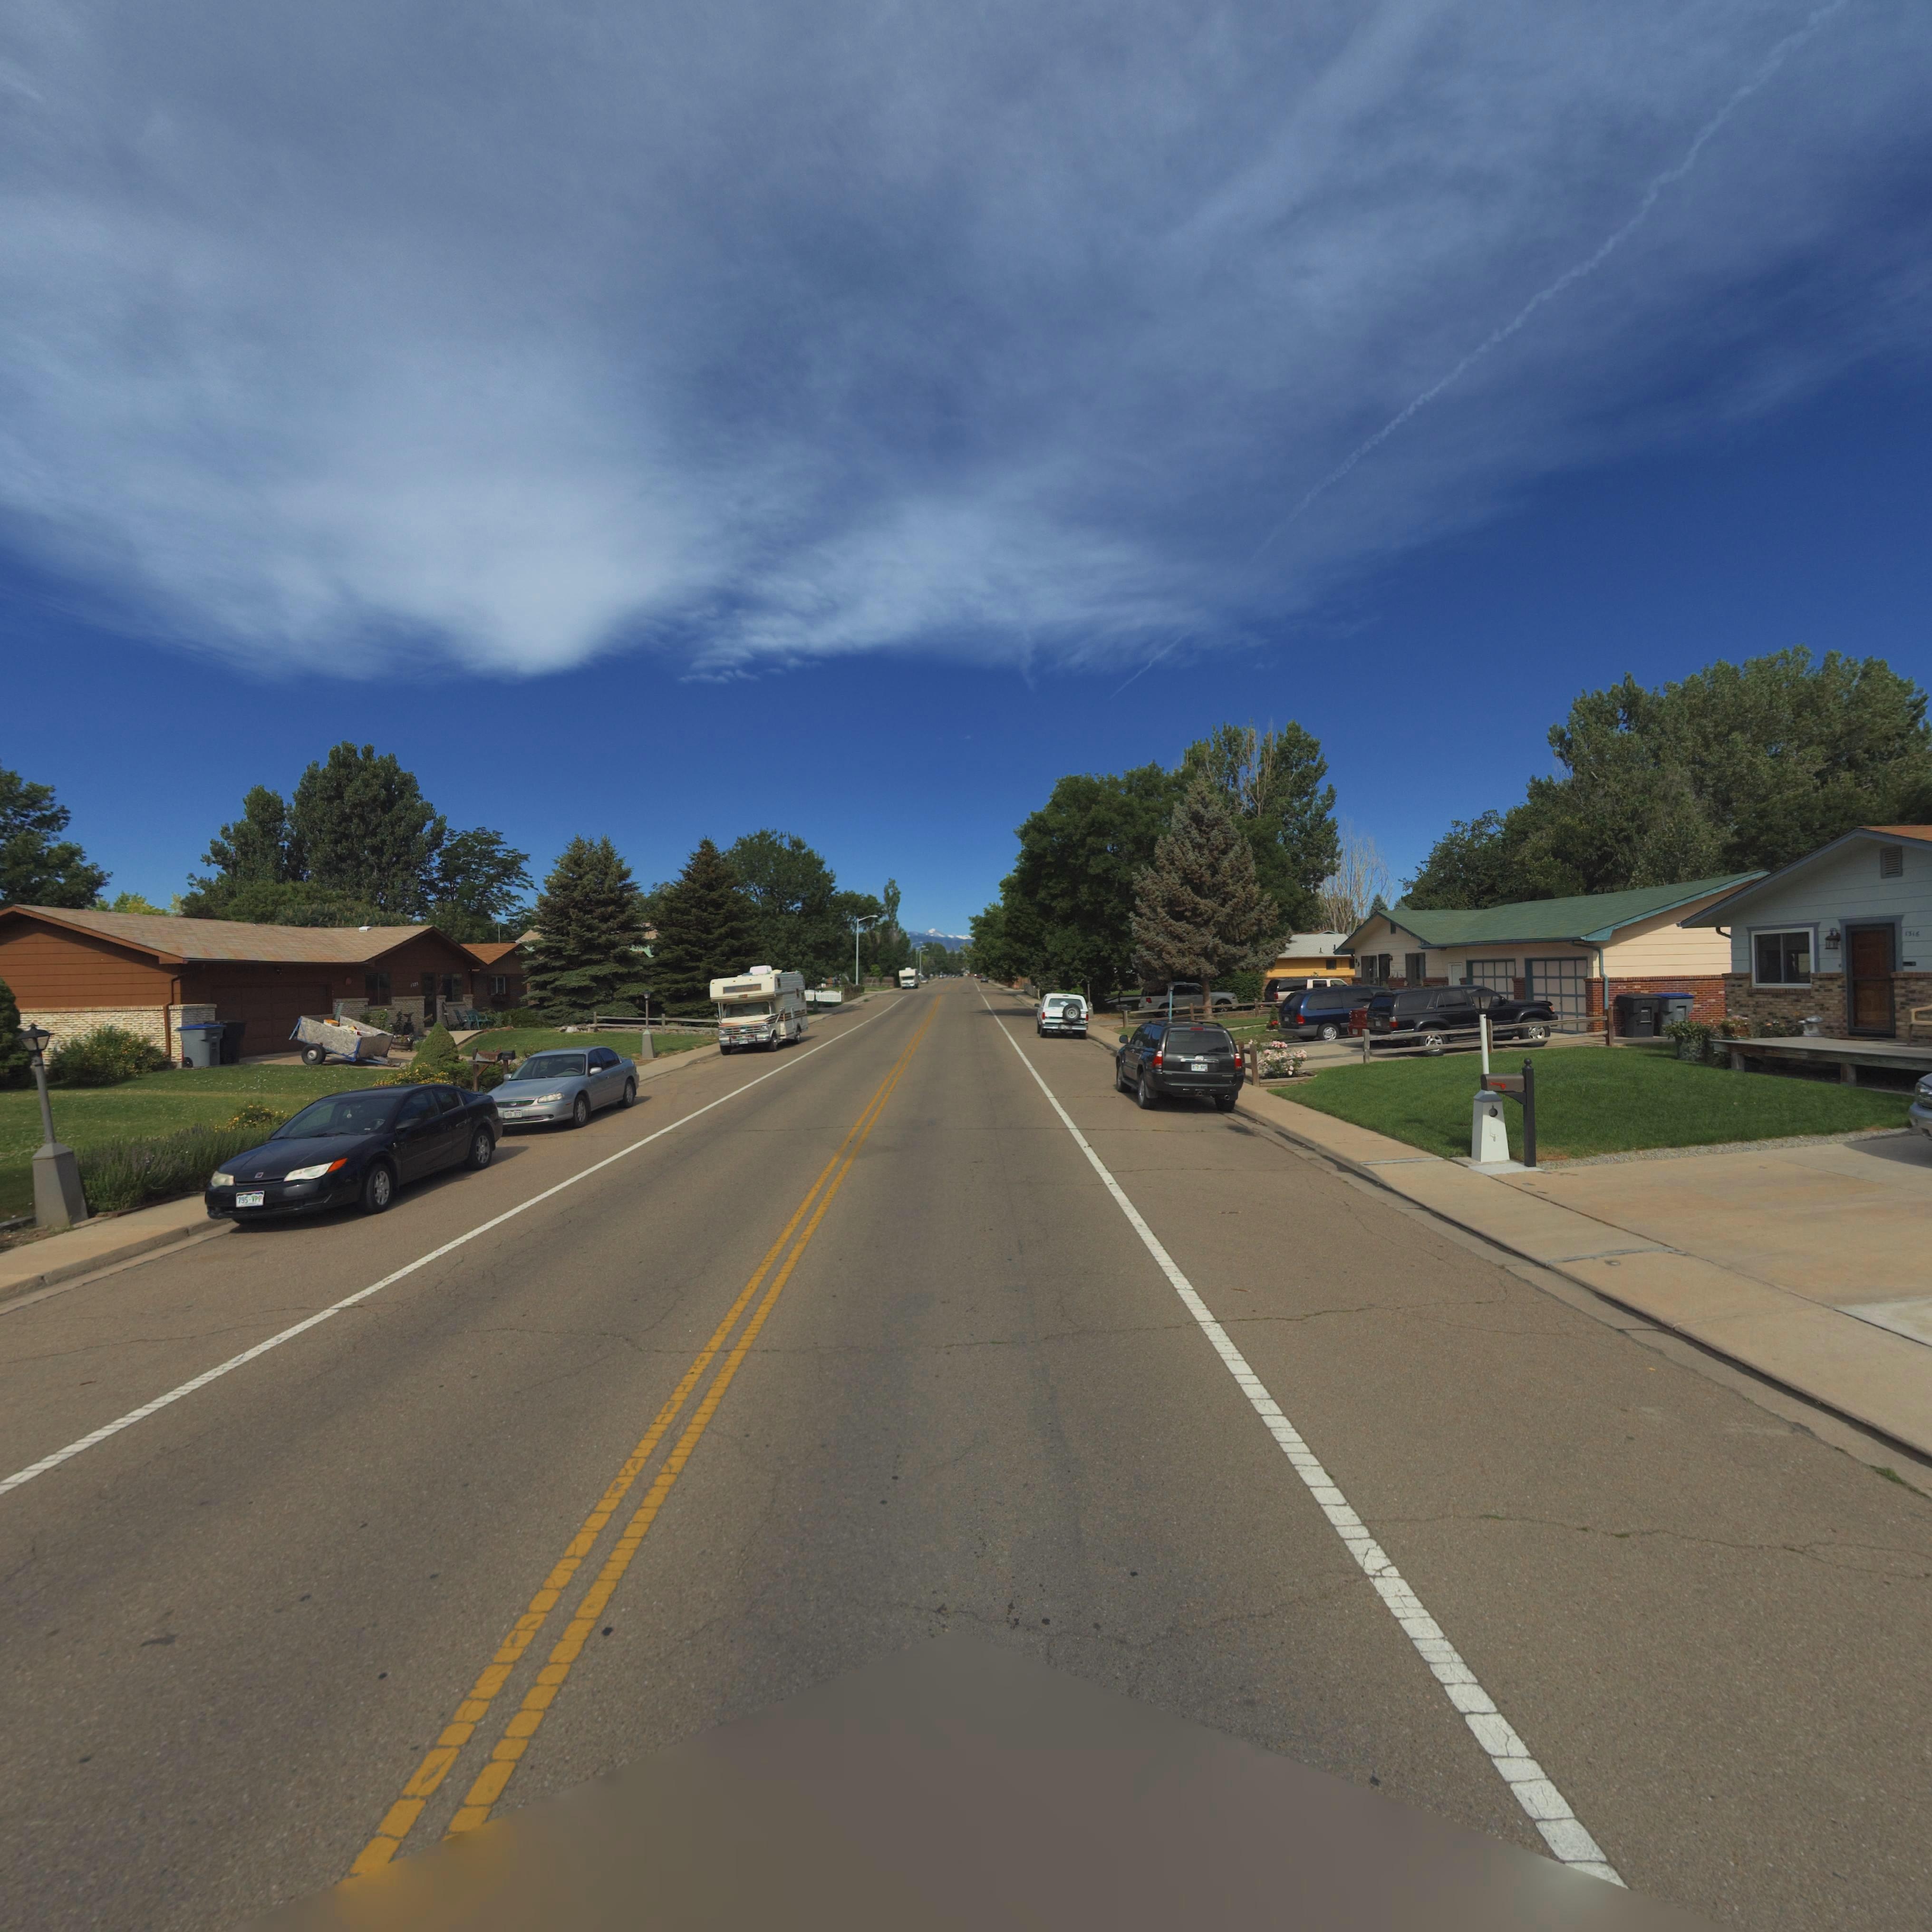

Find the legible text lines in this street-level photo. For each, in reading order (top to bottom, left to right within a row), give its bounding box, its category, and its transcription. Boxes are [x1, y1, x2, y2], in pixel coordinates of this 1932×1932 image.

[1905, 930, 1920, 937] StreetNumber: 1316
[410, 981, 419, 988] StreetNumber: 1323